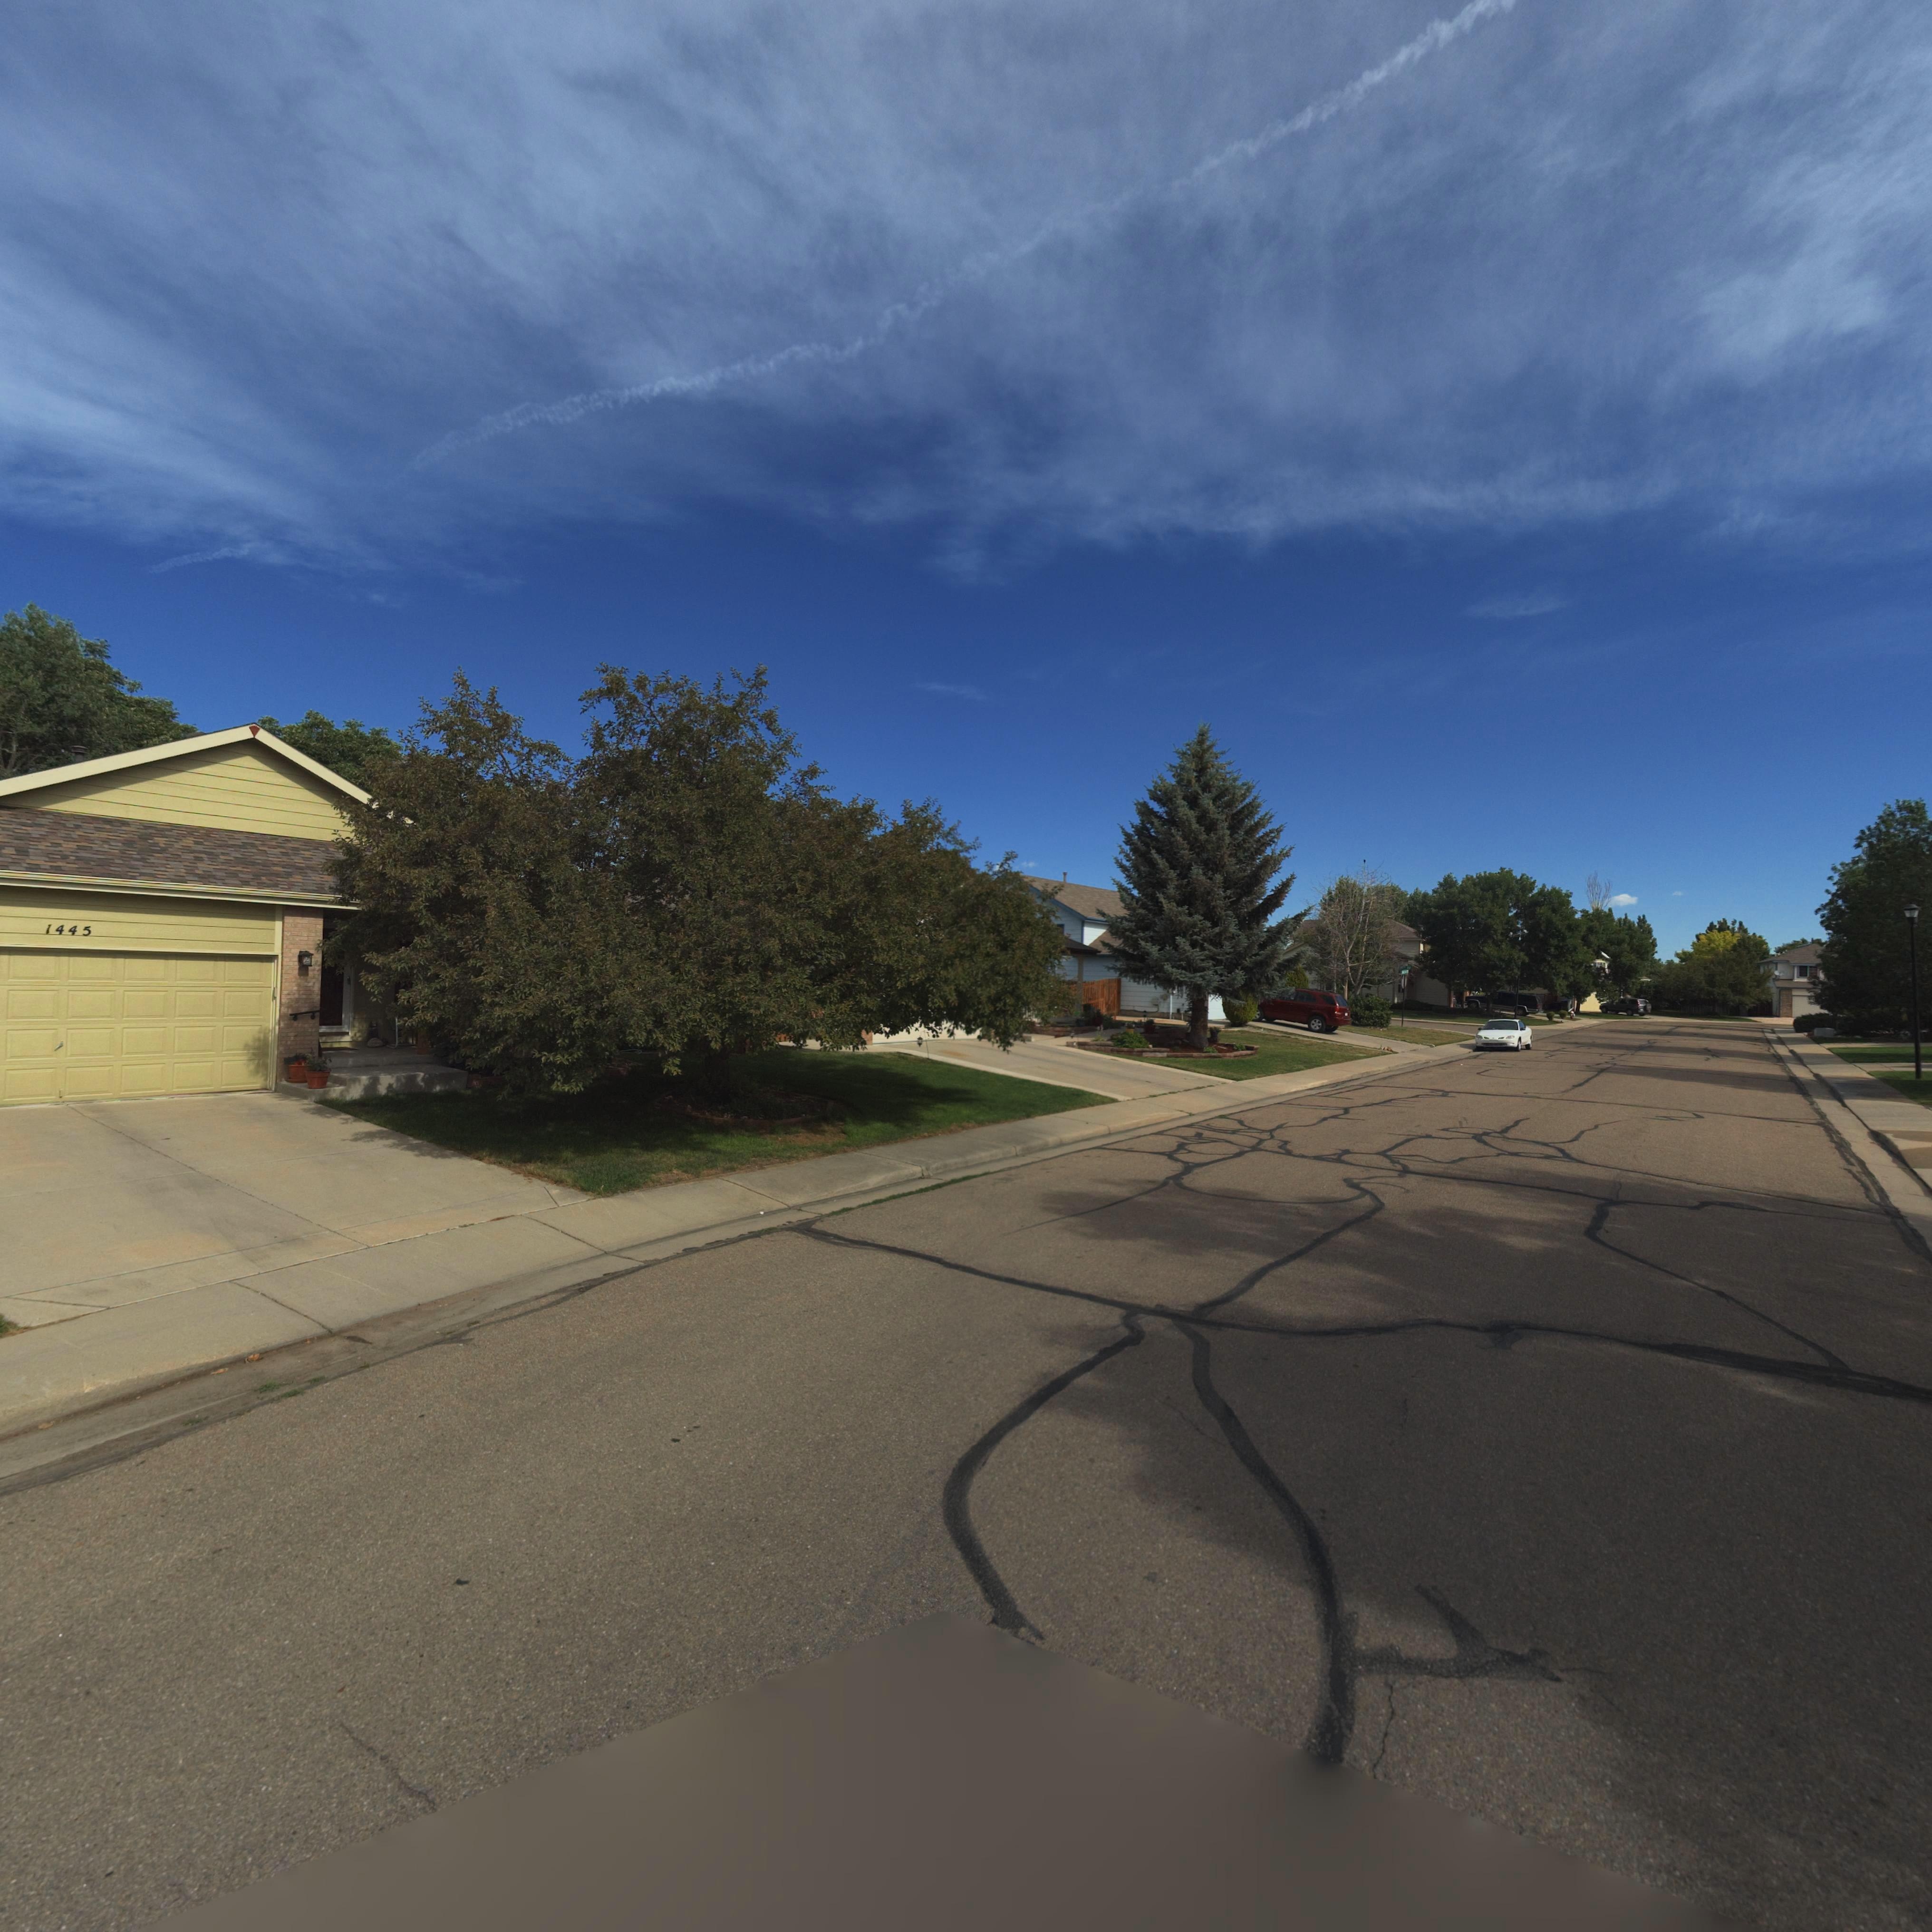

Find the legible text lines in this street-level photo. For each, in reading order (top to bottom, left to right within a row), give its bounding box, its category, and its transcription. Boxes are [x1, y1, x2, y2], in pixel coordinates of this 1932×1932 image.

[44, 922, 92, 937] StreetNumber: 1445